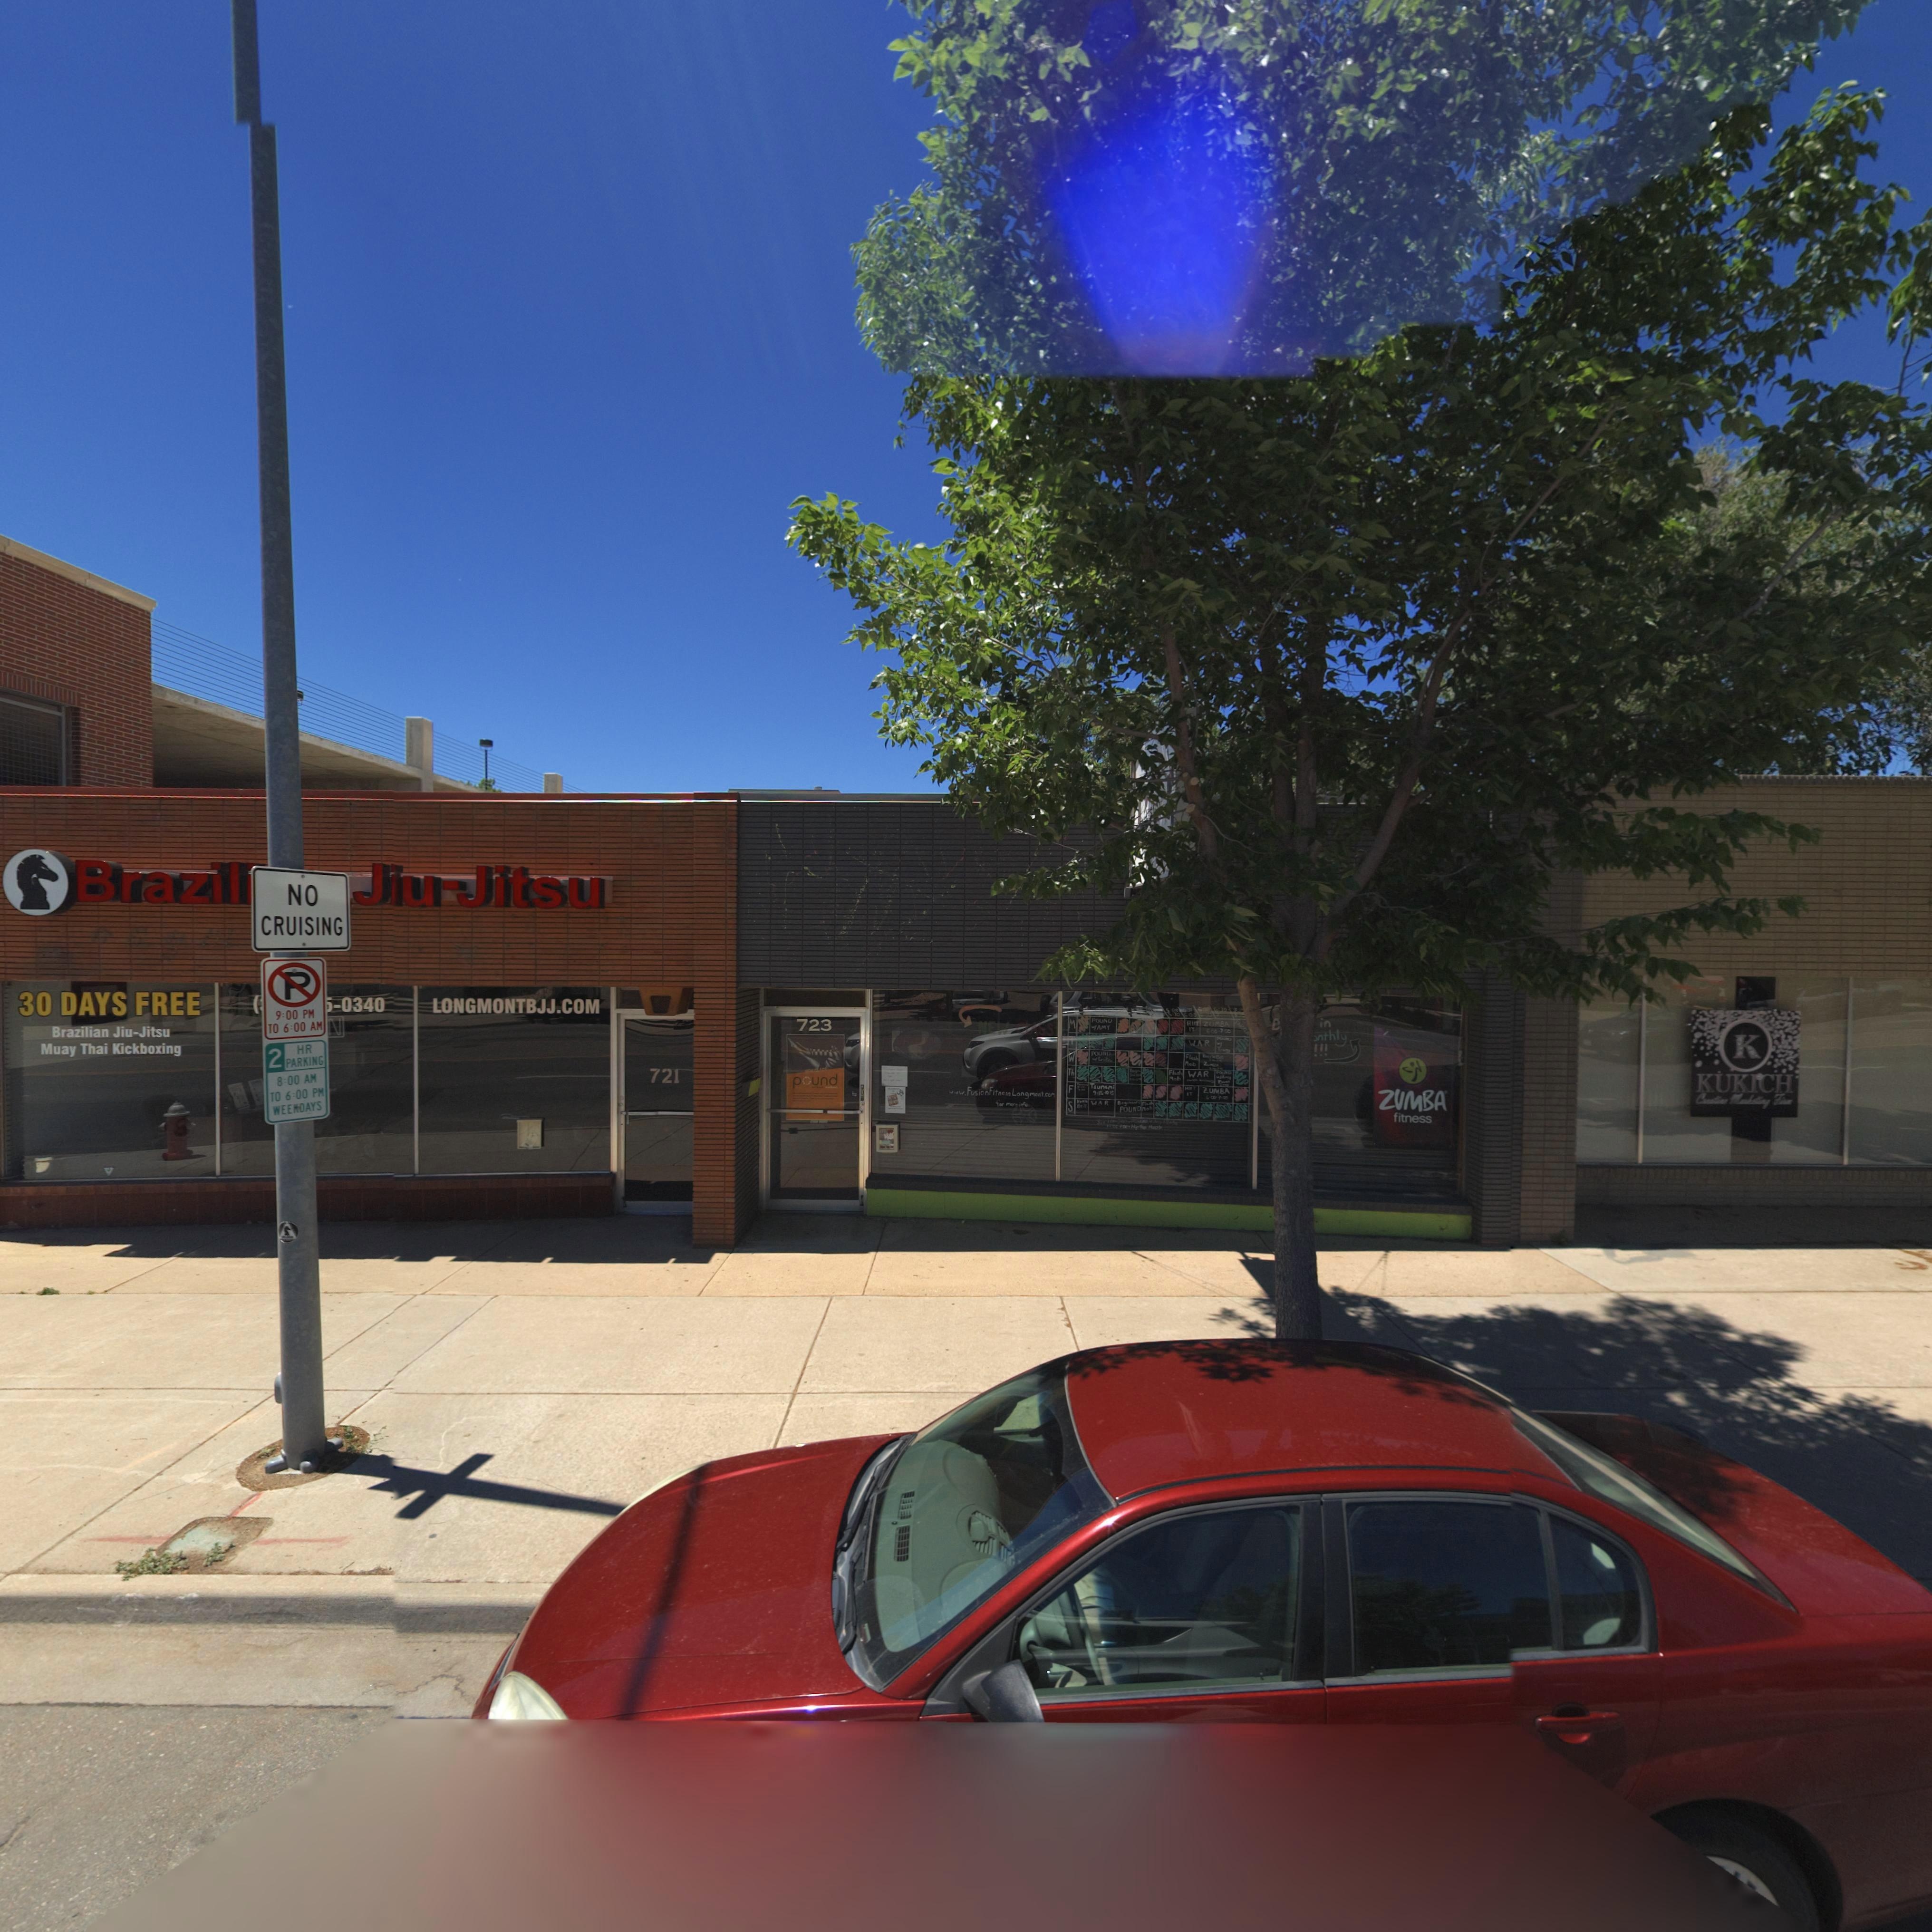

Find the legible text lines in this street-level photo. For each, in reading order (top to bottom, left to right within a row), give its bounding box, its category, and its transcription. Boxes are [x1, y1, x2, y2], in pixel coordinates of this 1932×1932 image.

[796, 1018, 832, 1031] StreetNumber: 723
[650, 1068, 679, 1083] StreetNumber: 721
[1696, 1072, 1794, 1093] BusinessName: KUKICH
[1695, 1092, 1792, 1110] BusinessName: C***t*ve Ma*k****g Fi*m